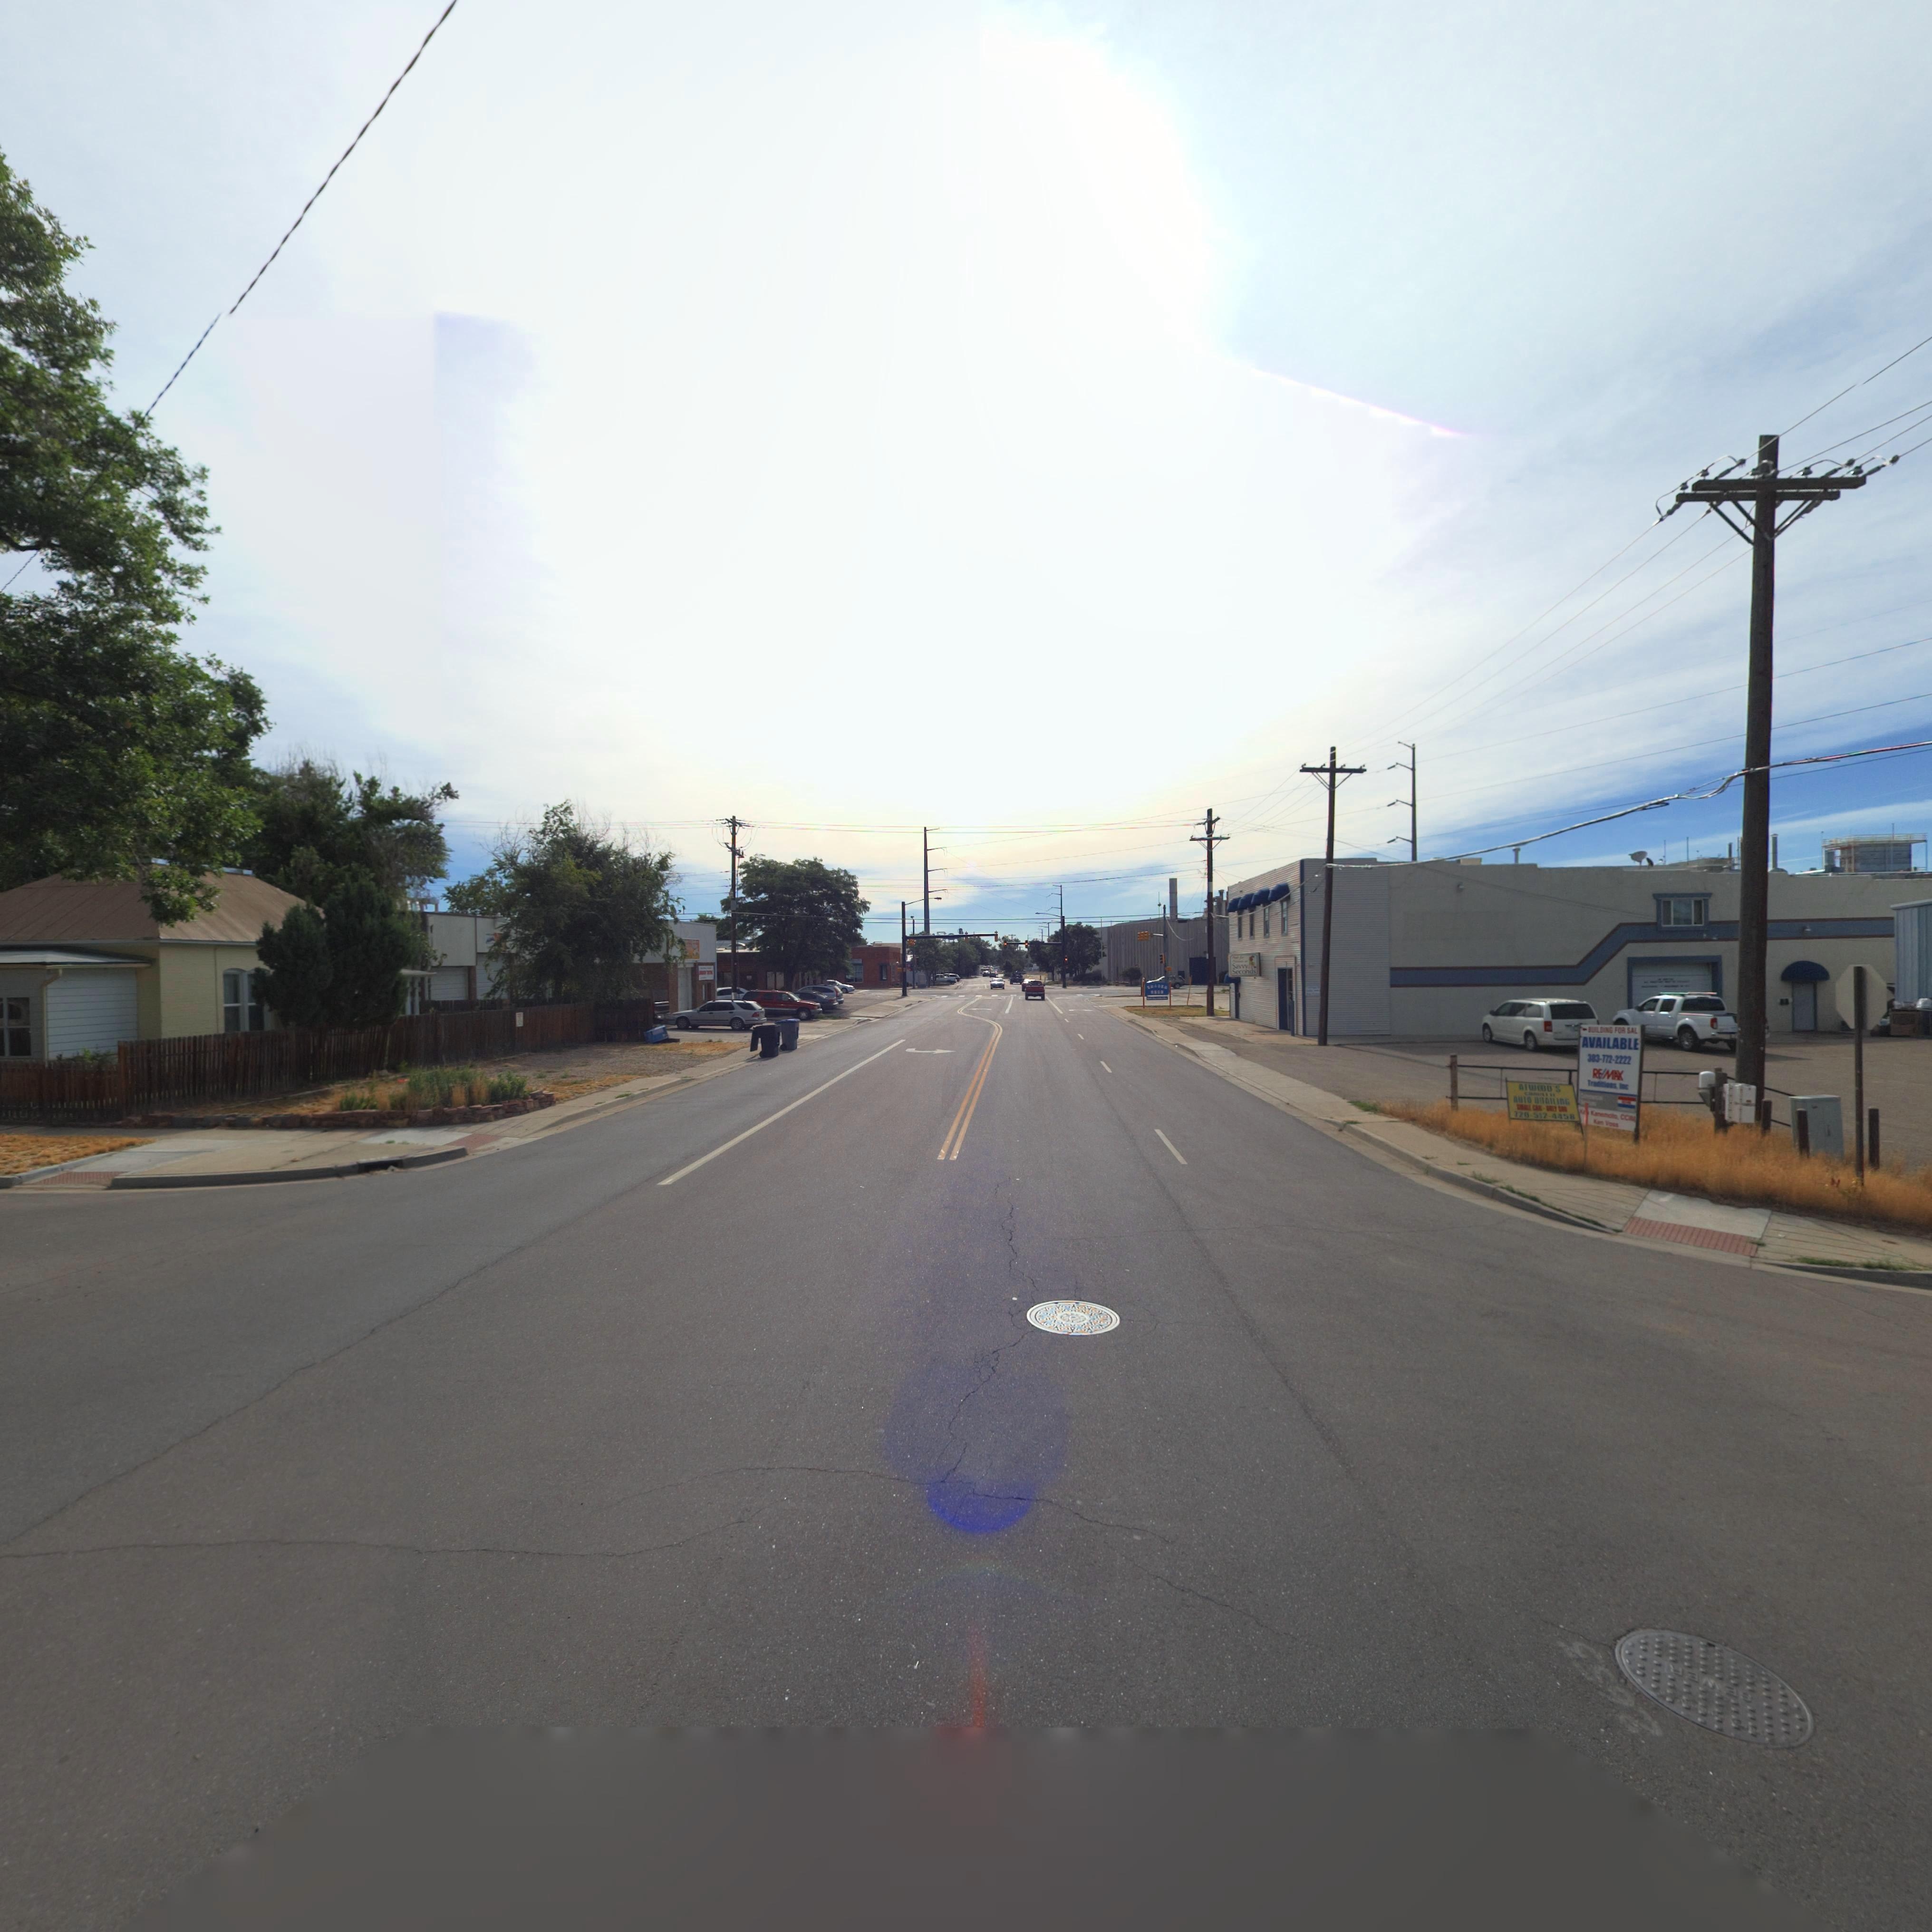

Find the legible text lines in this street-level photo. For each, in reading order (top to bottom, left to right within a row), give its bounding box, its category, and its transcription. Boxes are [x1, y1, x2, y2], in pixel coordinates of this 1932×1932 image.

[1231, 963, 1248, 969] BusinessName: Savvy
[1232, 968, 1256, 975] BusinessName: Seconds 
[1668, 1662, 1753, 1703] None: x*